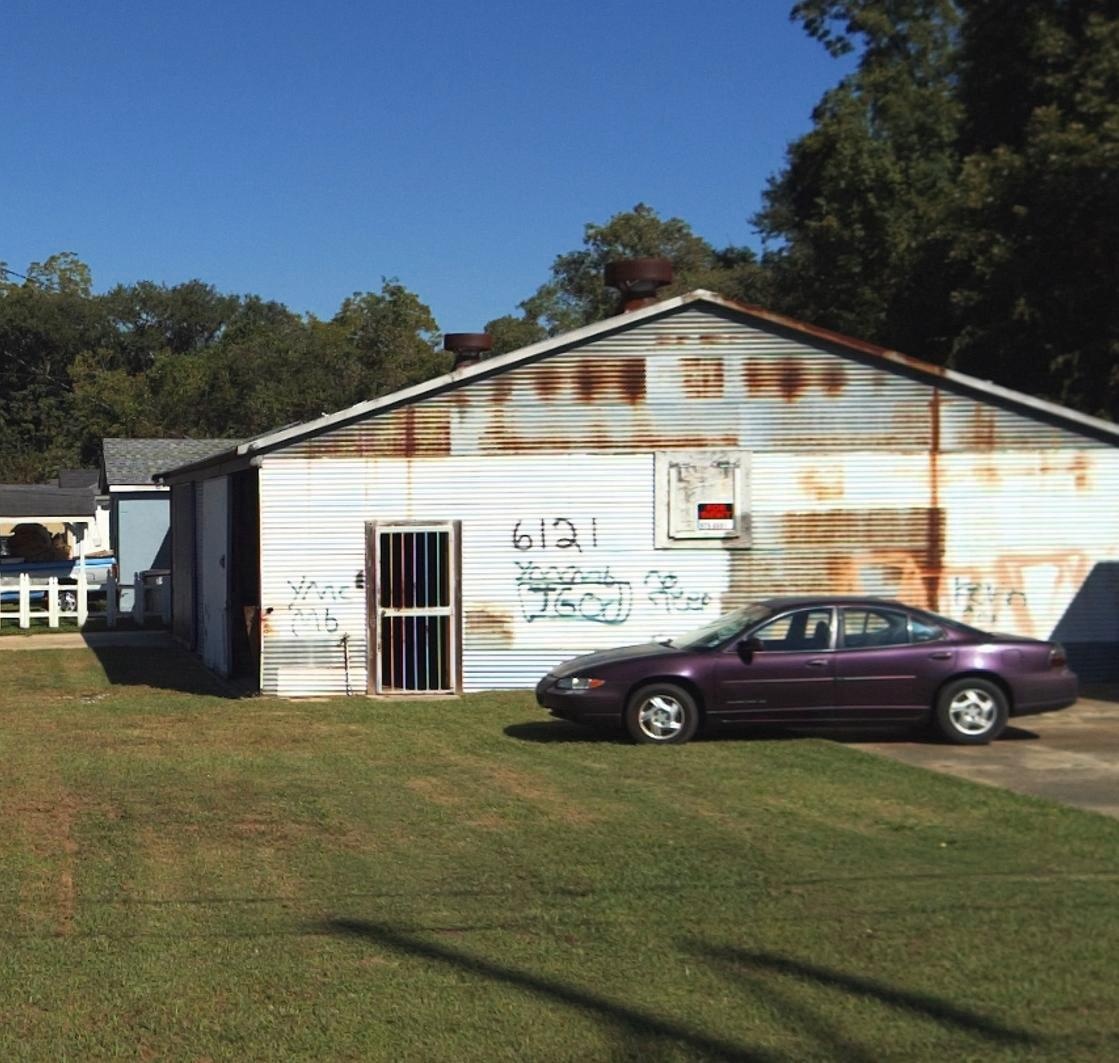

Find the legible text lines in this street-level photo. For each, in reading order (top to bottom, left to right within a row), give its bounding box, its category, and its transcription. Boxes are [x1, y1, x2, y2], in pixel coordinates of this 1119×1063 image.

[512, 517, 599, 554] StreetNumber: 6121
[553, 581, 624, 624] None: God